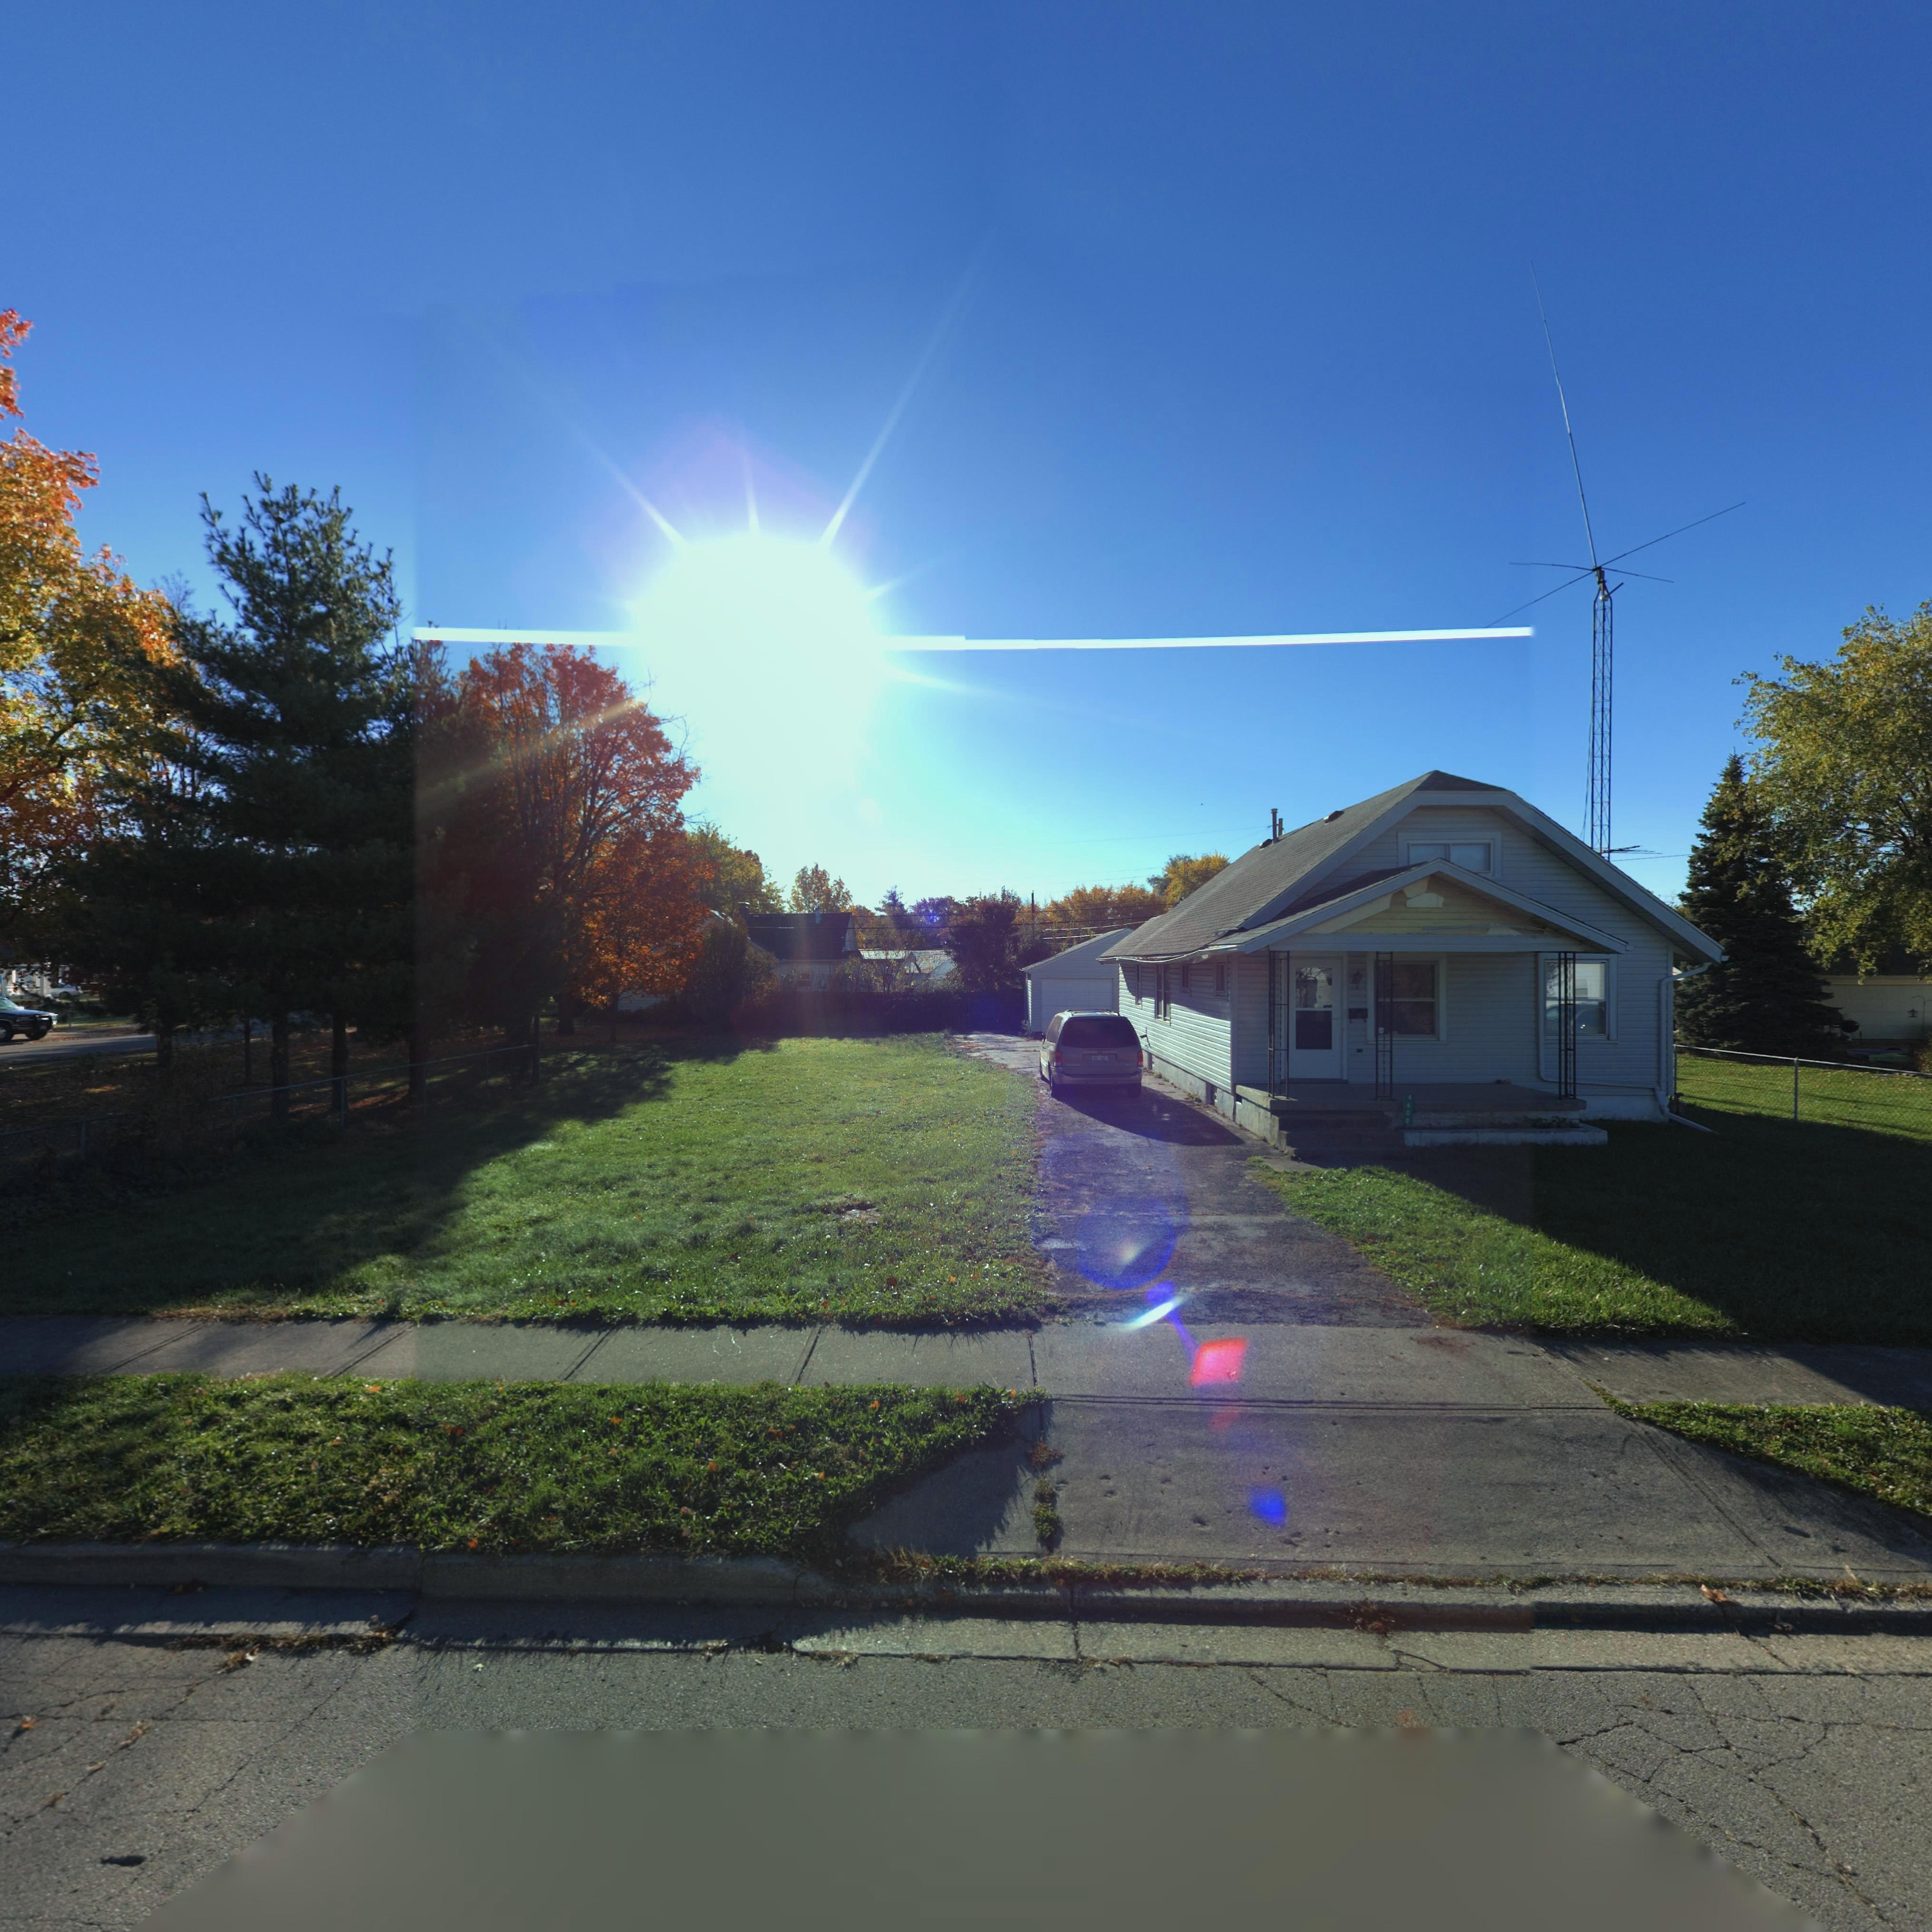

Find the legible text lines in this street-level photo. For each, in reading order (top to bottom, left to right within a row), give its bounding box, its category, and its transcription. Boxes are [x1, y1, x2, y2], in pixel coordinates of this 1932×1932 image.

[1404, 1093, 1412, 1124] StreetNumber: 4608